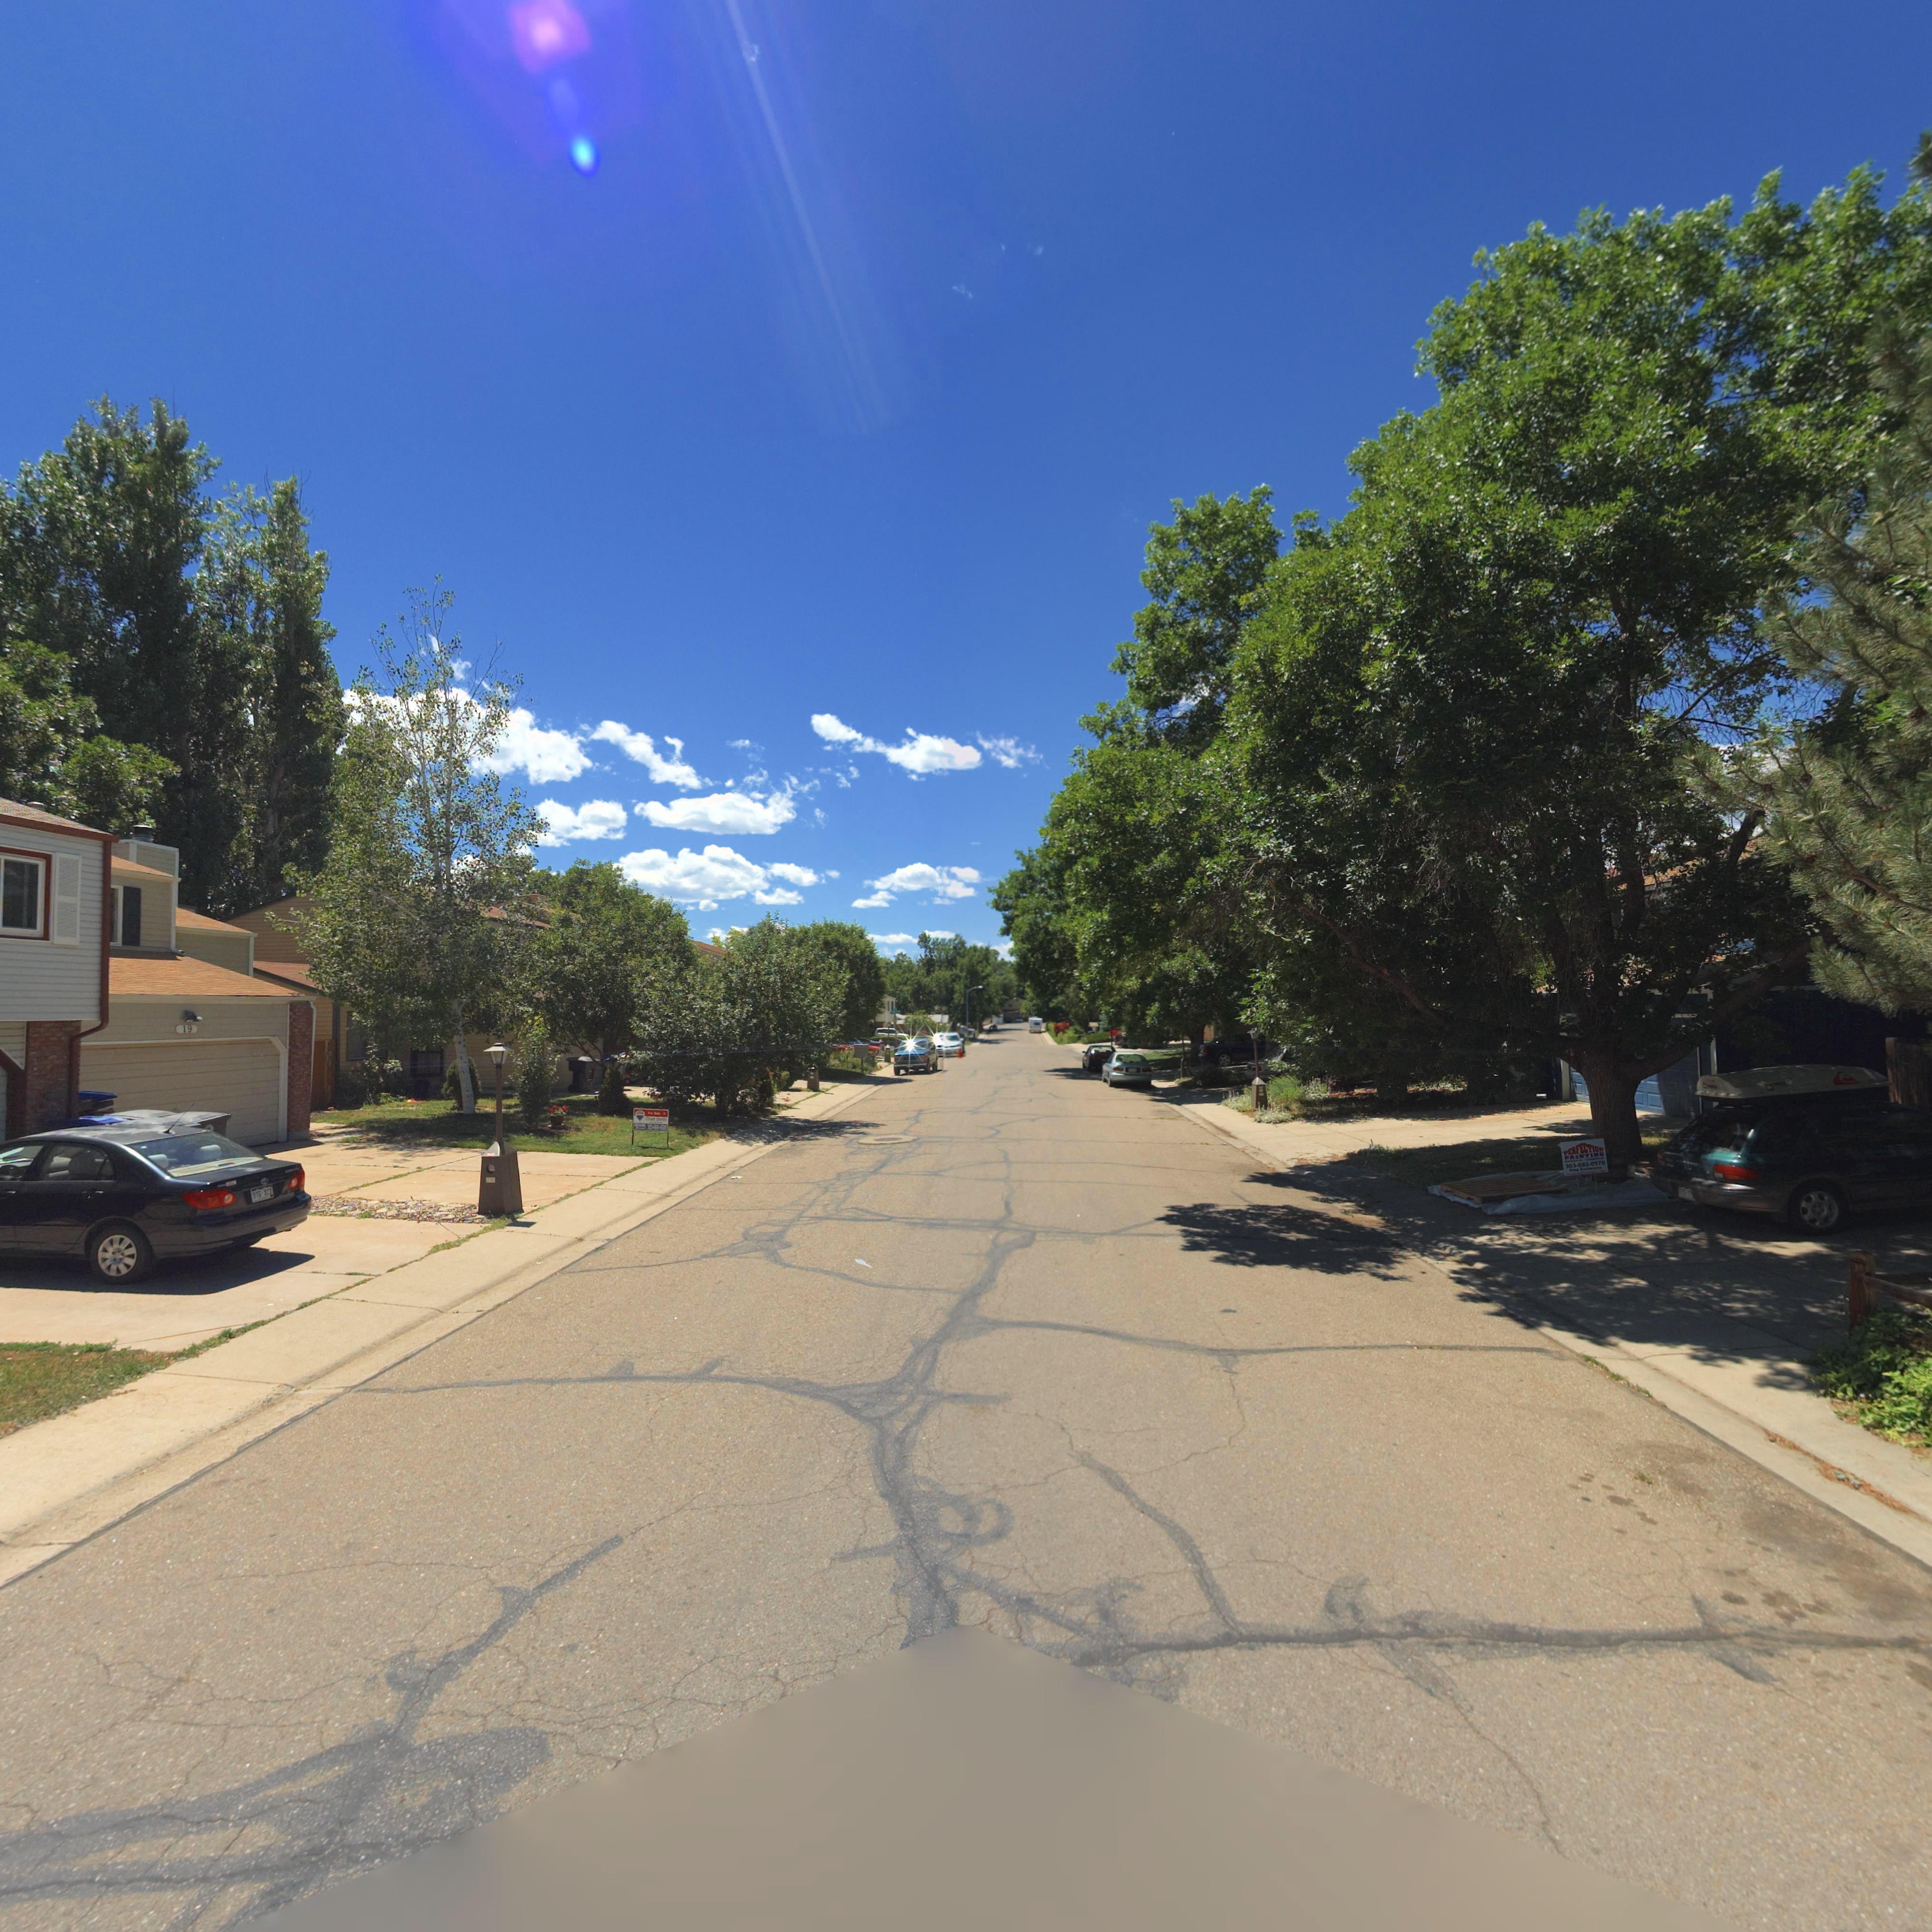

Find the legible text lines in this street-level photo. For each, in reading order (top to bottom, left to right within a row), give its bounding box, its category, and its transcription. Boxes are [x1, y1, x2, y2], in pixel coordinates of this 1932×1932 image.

[182, 1024, 193, 1033] StreetNumber: 19